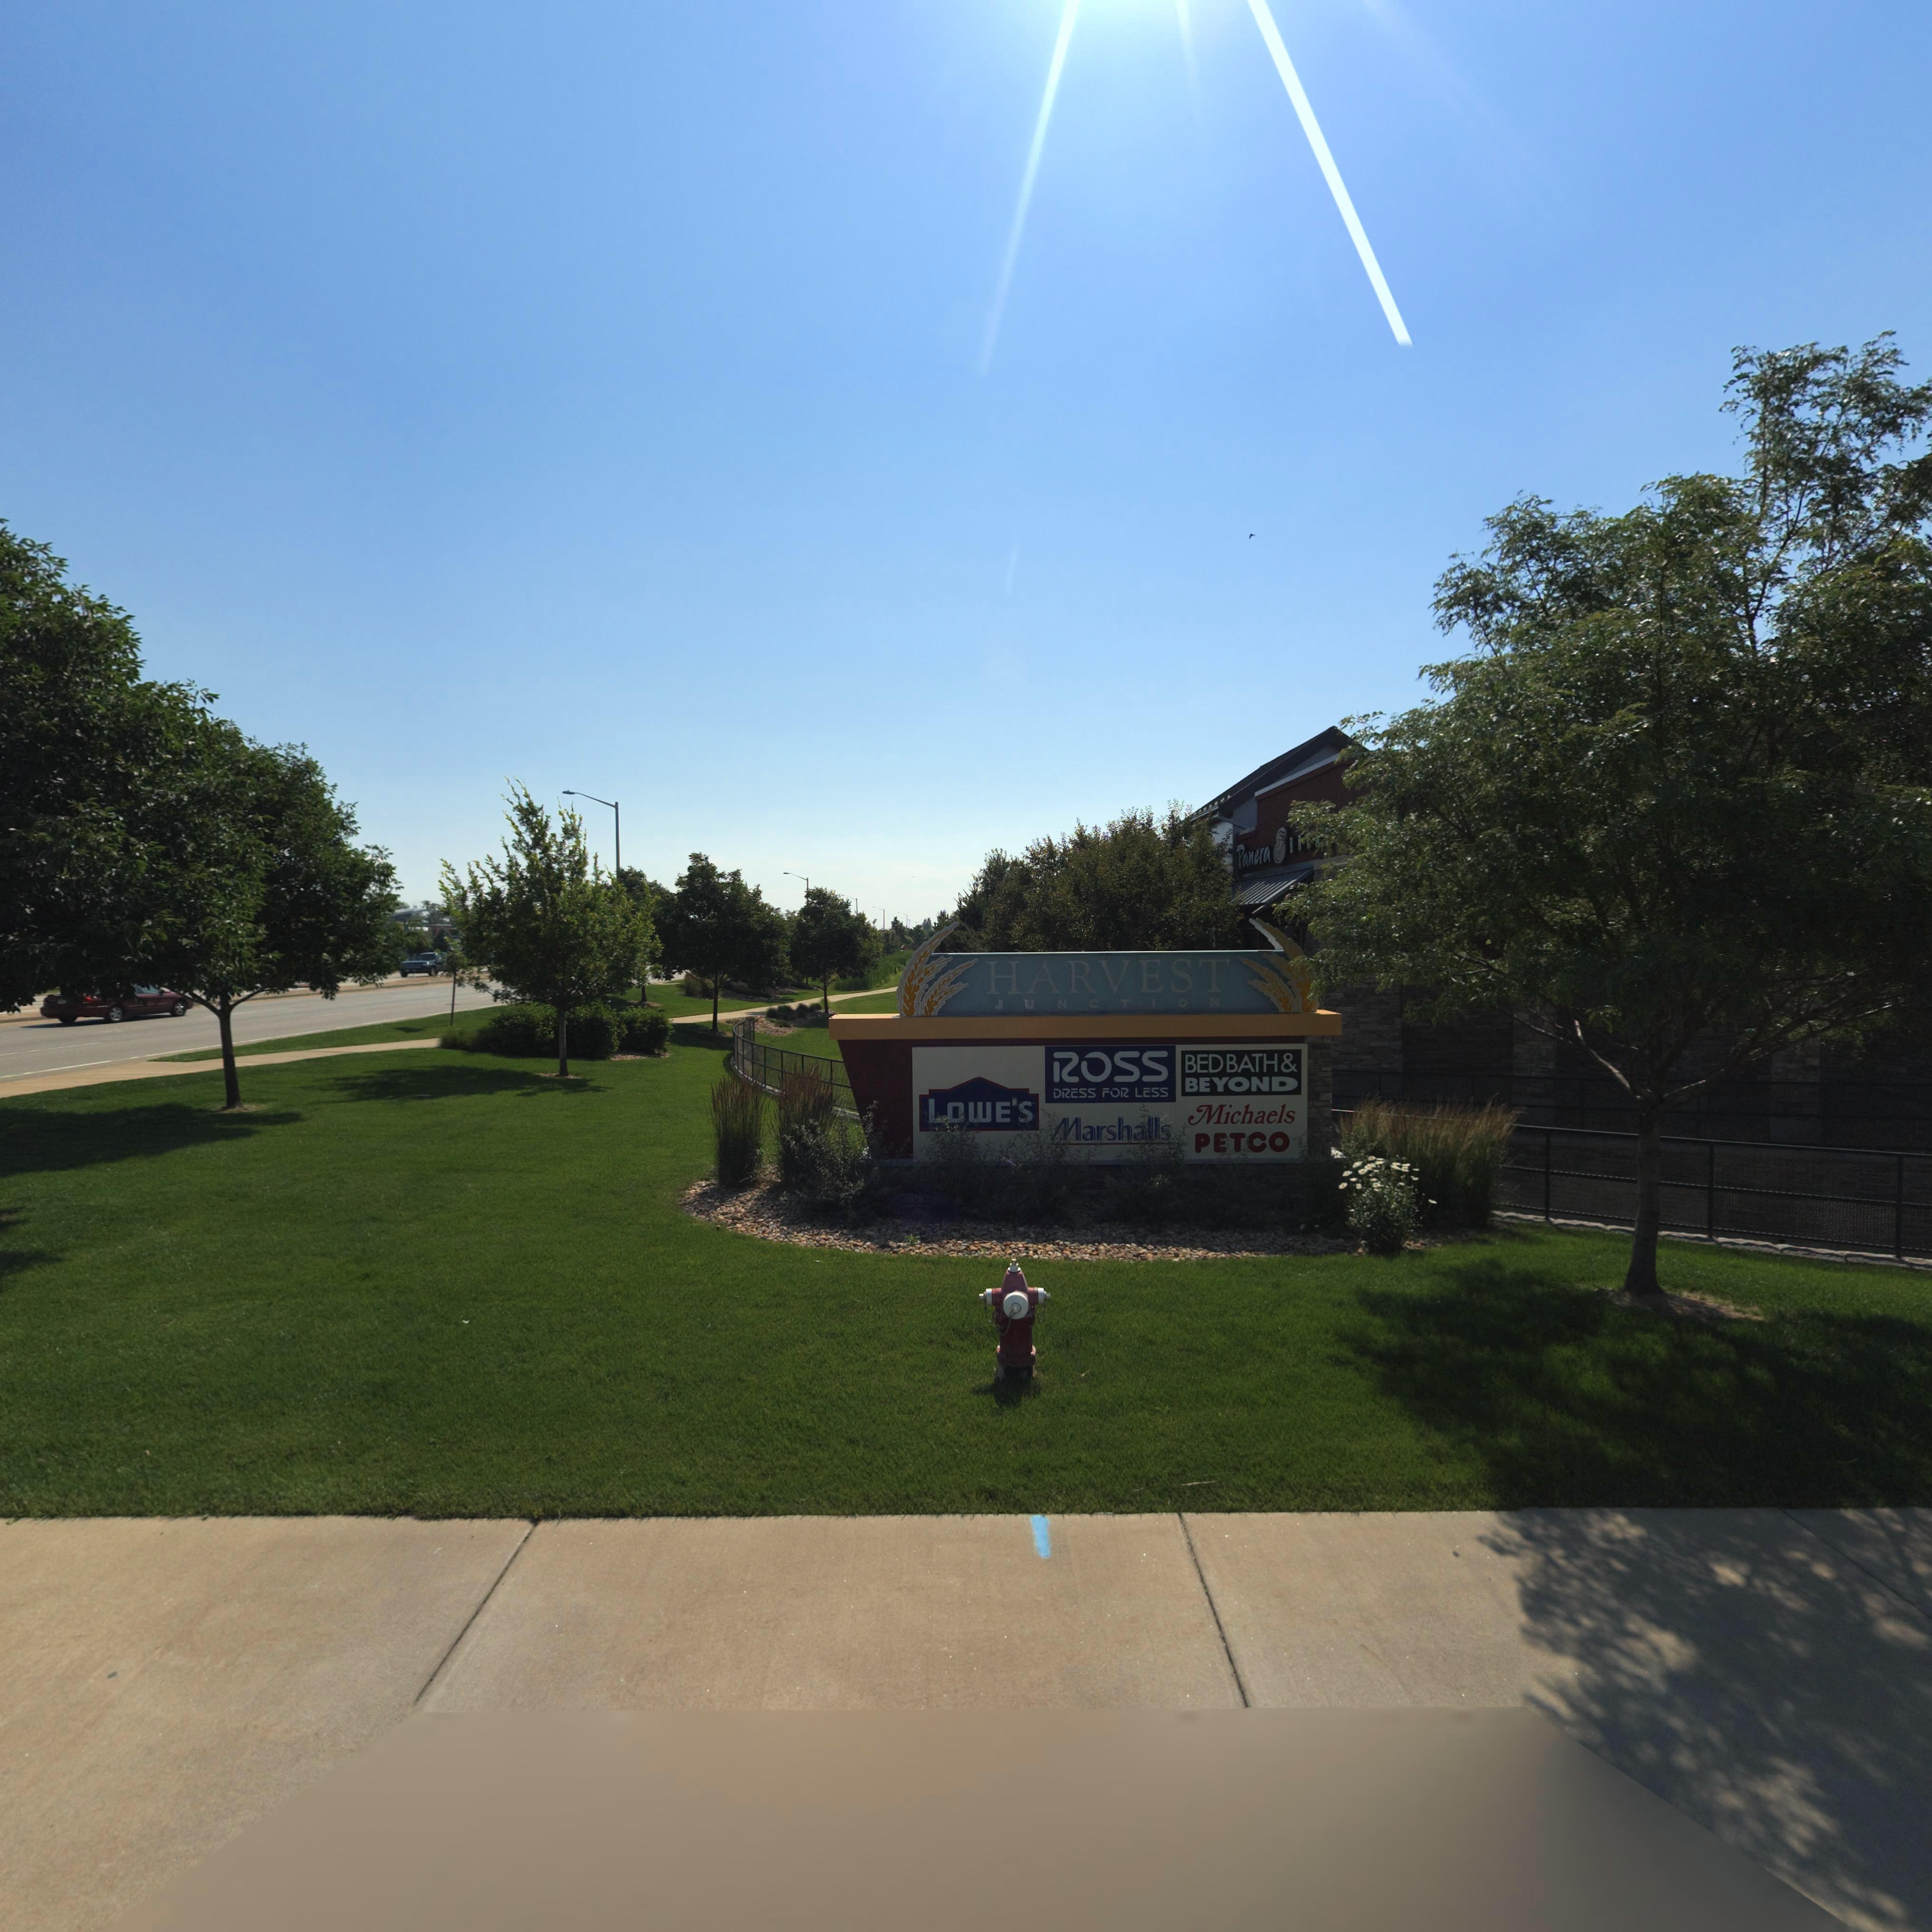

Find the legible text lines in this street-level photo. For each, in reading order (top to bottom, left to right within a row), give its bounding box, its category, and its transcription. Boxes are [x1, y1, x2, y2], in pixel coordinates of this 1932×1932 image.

[1289, 831, 1320, 853] BusinessName: BRE*
[1236, 843, 1270, 869] BusinessName: Panera
[1053, 1050, 1168, 1083] BusinessName: ROSS
[1185, 1053, 1297, 1073] BusinessName: BED BATH &
[1185, 1076, 1298, 1092] BusinessName: BEYOND
[928, 1097, 1033, 1124] BusinessName: LOWE'S
[1187, 1103, 1295, 1126] BusinessName: Michaels
[1050, 1116, 1172, 1141] BusinessName: Marshalls
[1194, 1131, 1290, 1153] BusinessName: PETCO